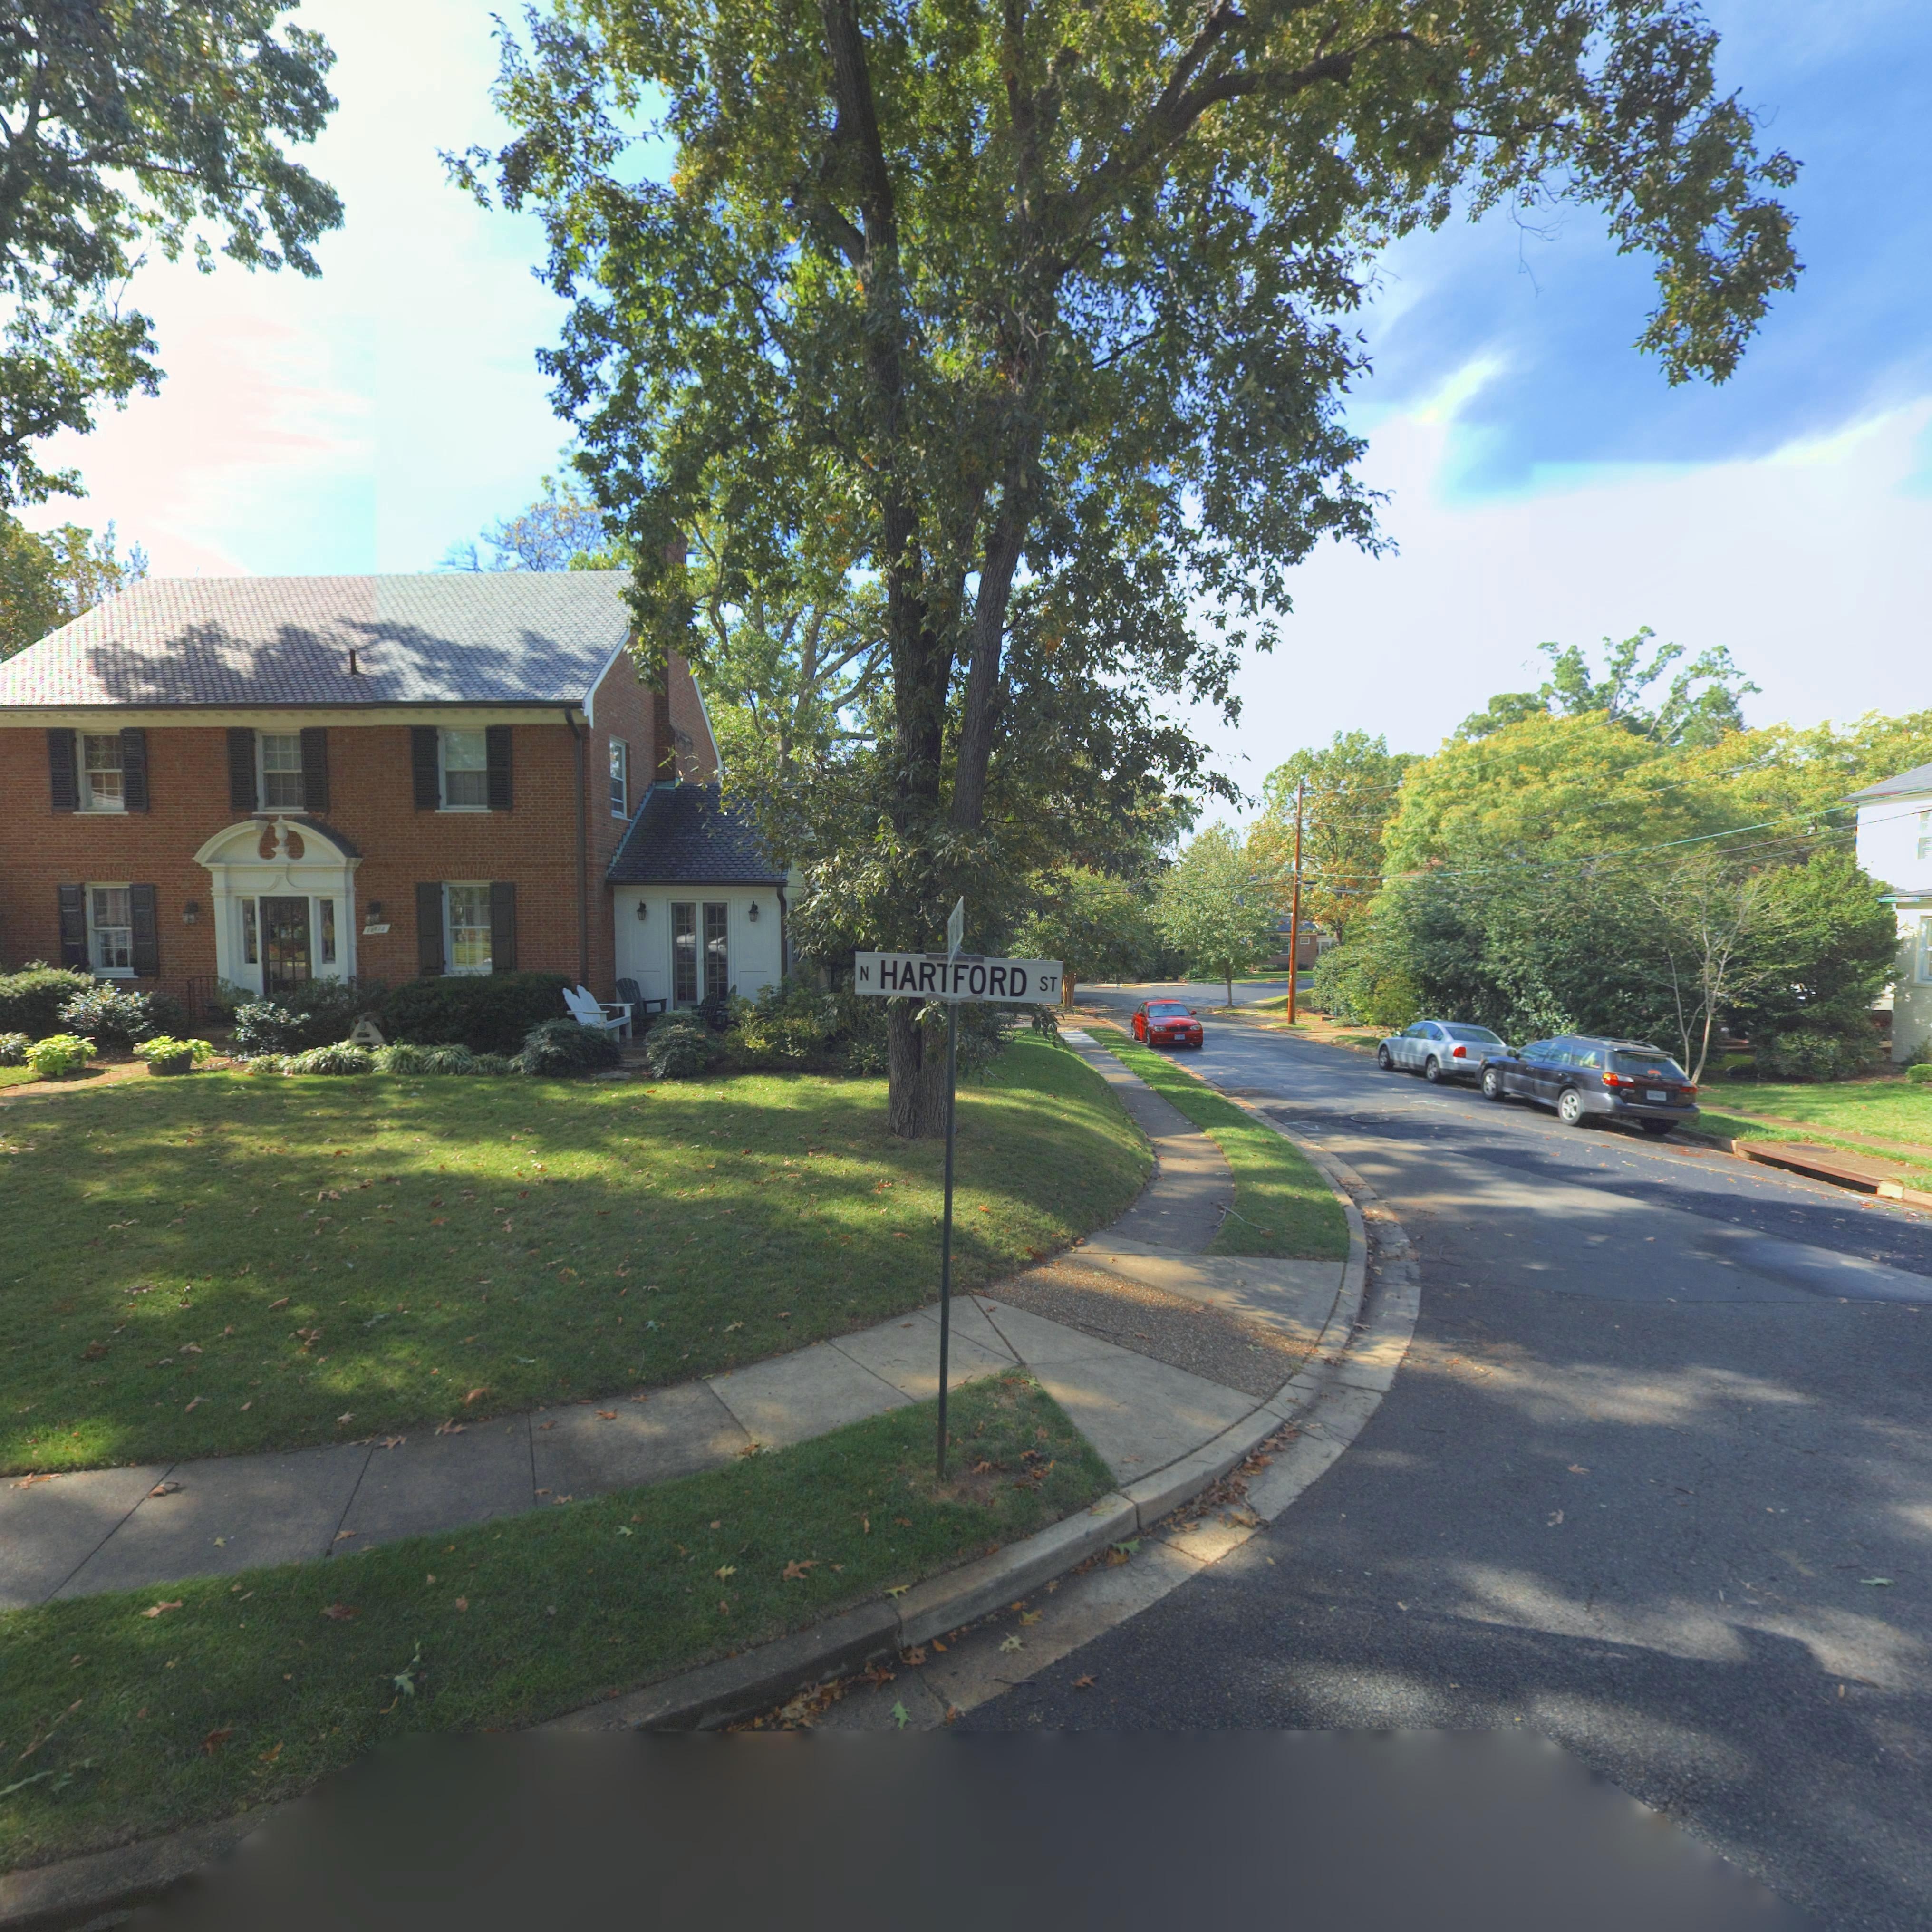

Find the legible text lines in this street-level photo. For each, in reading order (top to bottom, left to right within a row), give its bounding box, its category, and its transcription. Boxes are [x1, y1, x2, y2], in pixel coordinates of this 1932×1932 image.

[859, 958, 1059, 998] StreetName: N HARTFORD ST